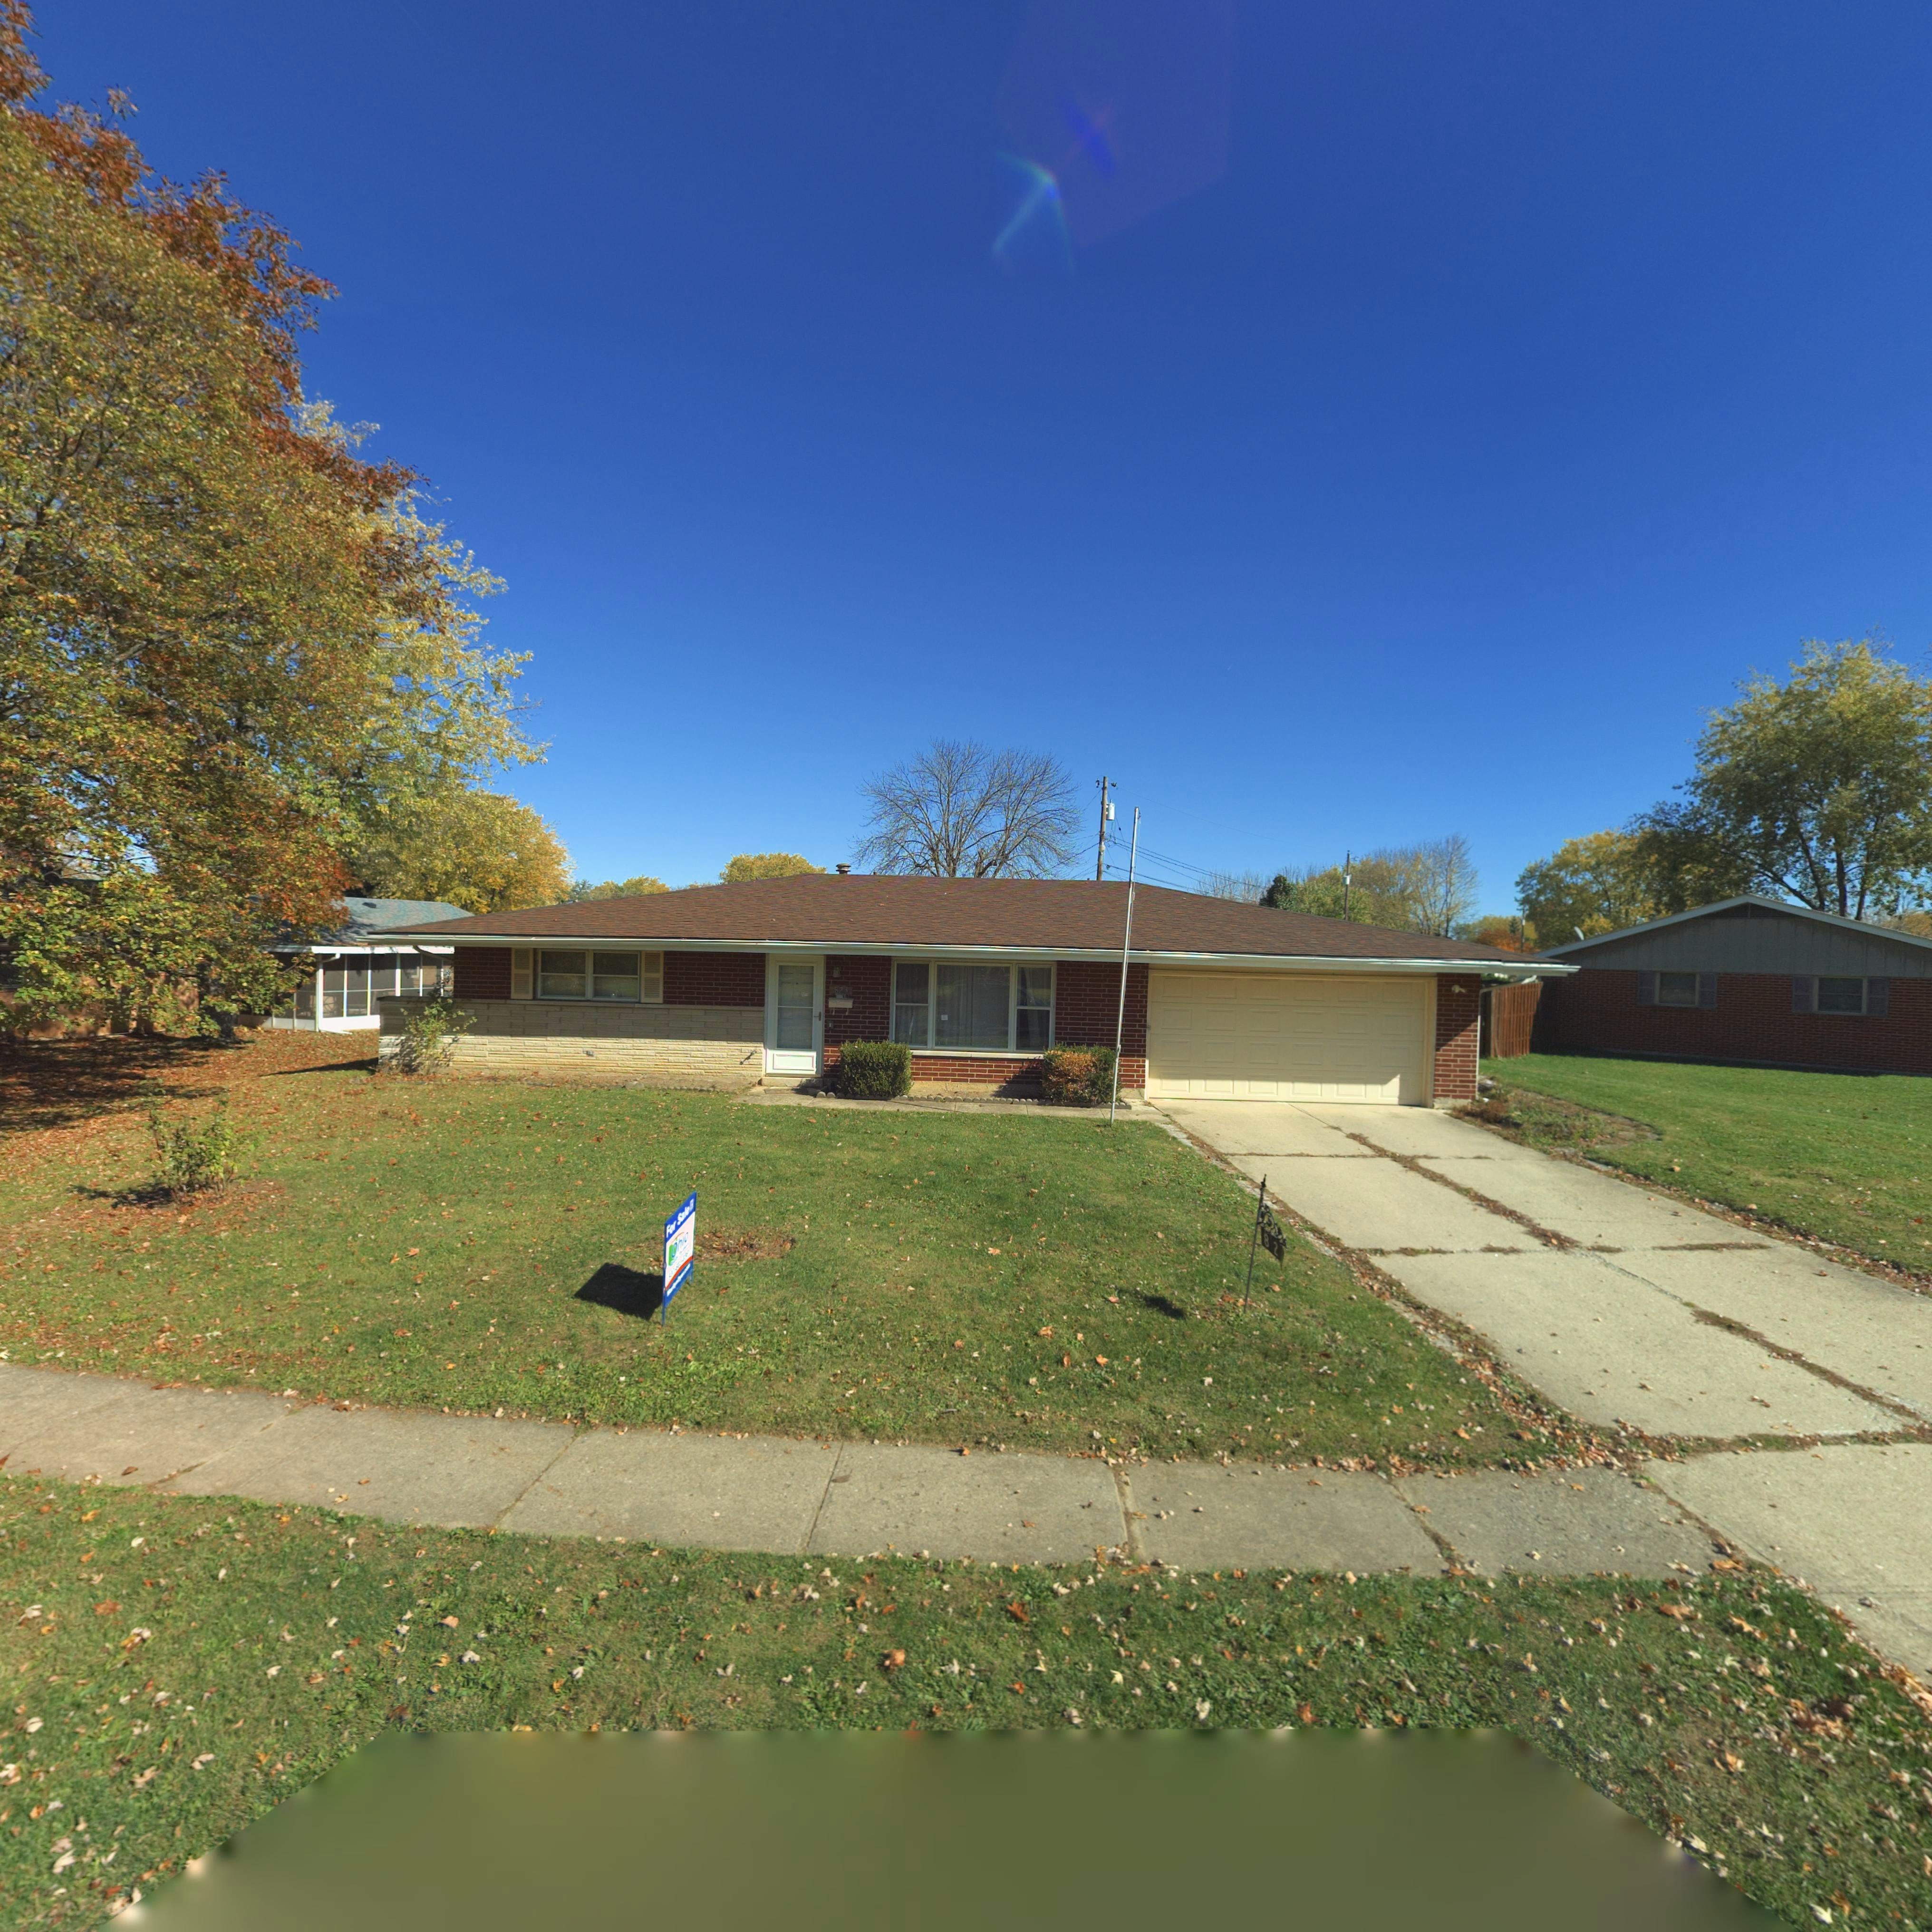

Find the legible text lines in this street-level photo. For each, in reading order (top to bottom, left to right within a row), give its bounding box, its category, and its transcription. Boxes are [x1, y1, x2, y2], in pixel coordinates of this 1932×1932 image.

[834, 986, 849, 994] StreetNumber: 823
[1264, 1232, 1279, 1258] StreetNumber: 82